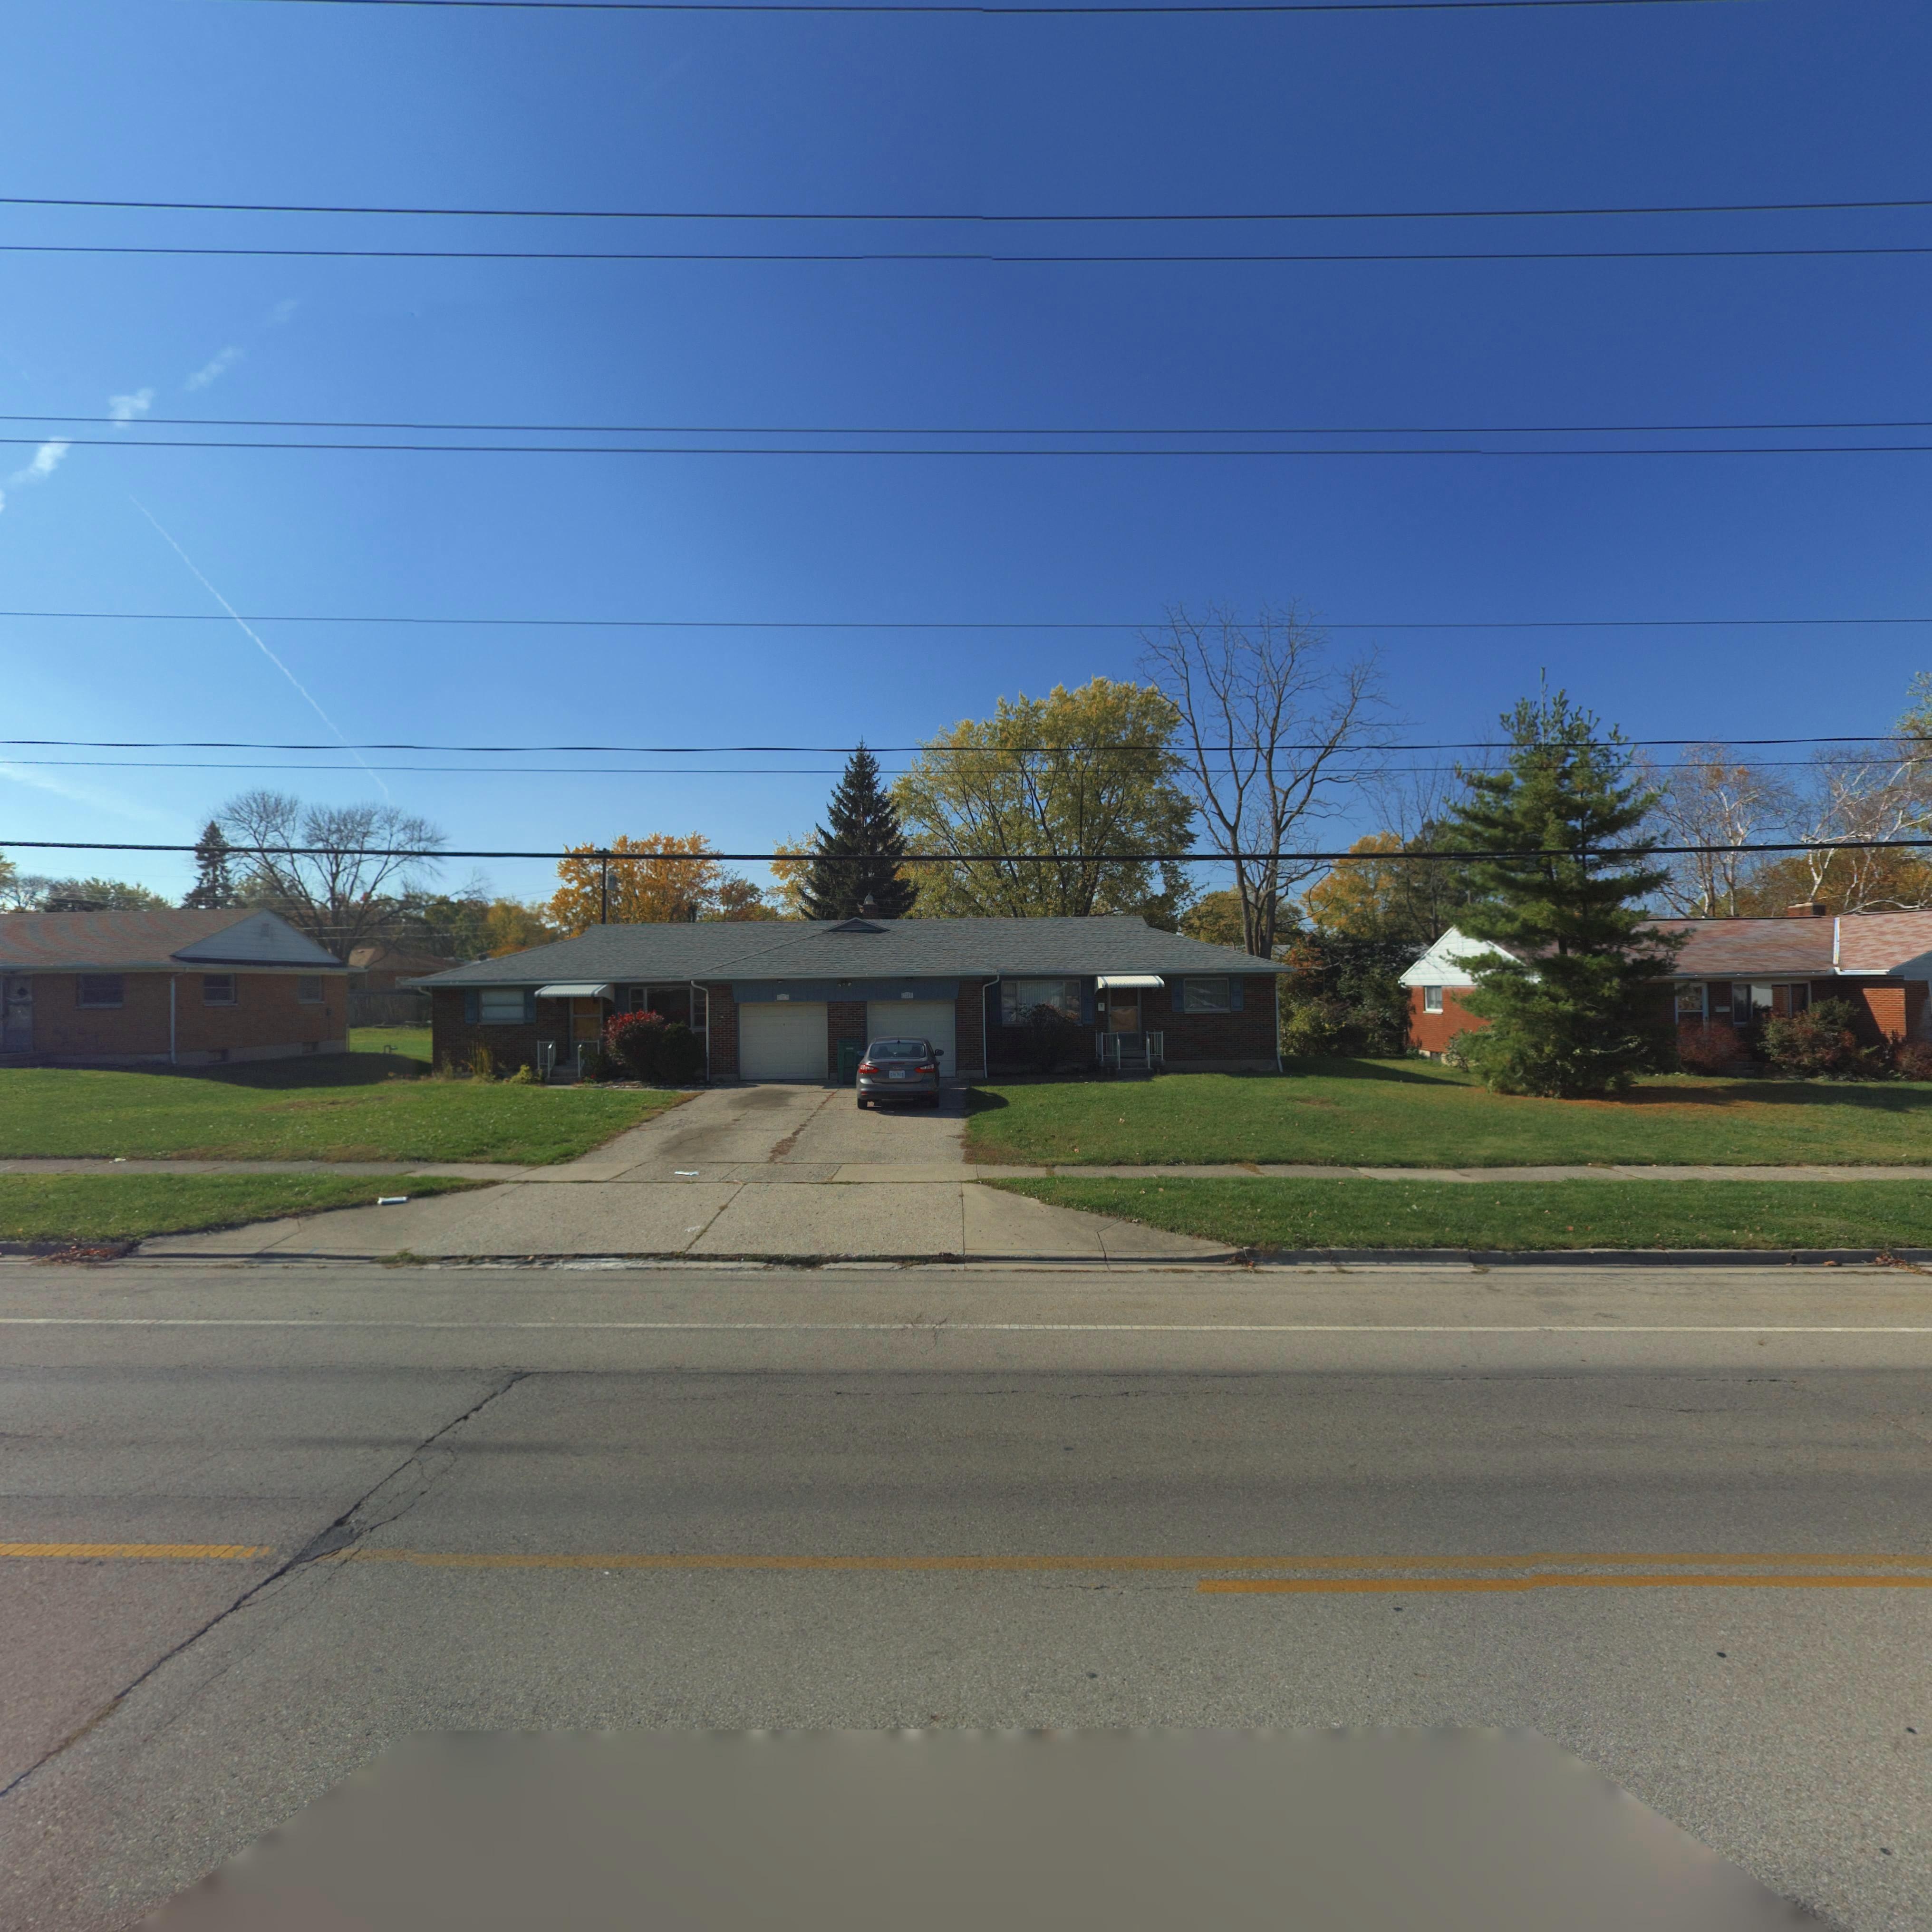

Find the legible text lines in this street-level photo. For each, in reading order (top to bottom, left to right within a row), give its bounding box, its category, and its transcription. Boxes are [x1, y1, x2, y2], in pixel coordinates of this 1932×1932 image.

[778, 995, 788, 1000] StreetNumber: 3813
[902, 994, 912, 998] StreetNumber: 3809